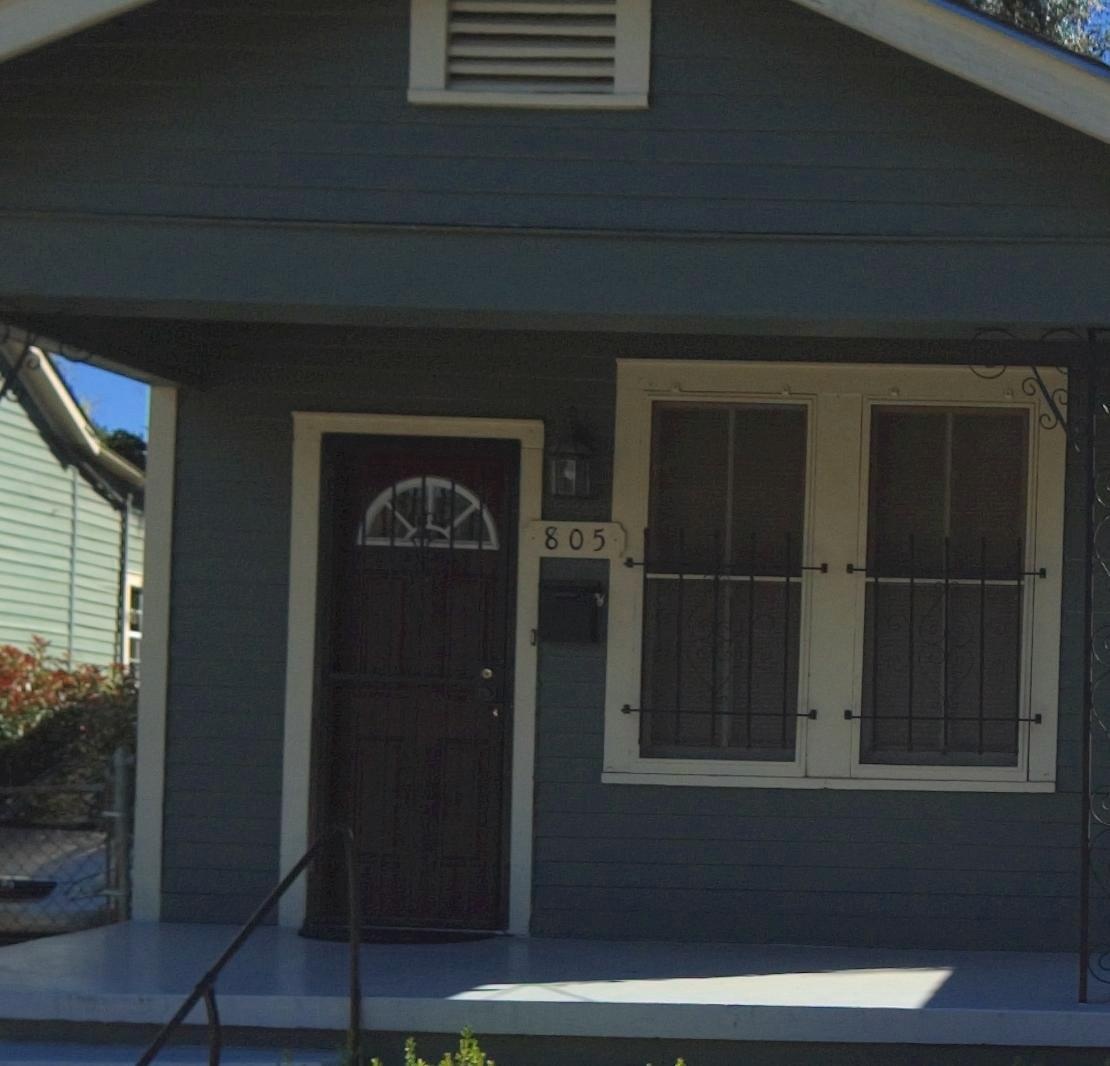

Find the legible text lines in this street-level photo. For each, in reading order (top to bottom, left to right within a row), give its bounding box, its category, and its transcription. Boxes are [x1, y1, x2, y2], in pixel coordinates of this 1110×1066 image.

[542, 523, 609, 554] StreetNumber: 805